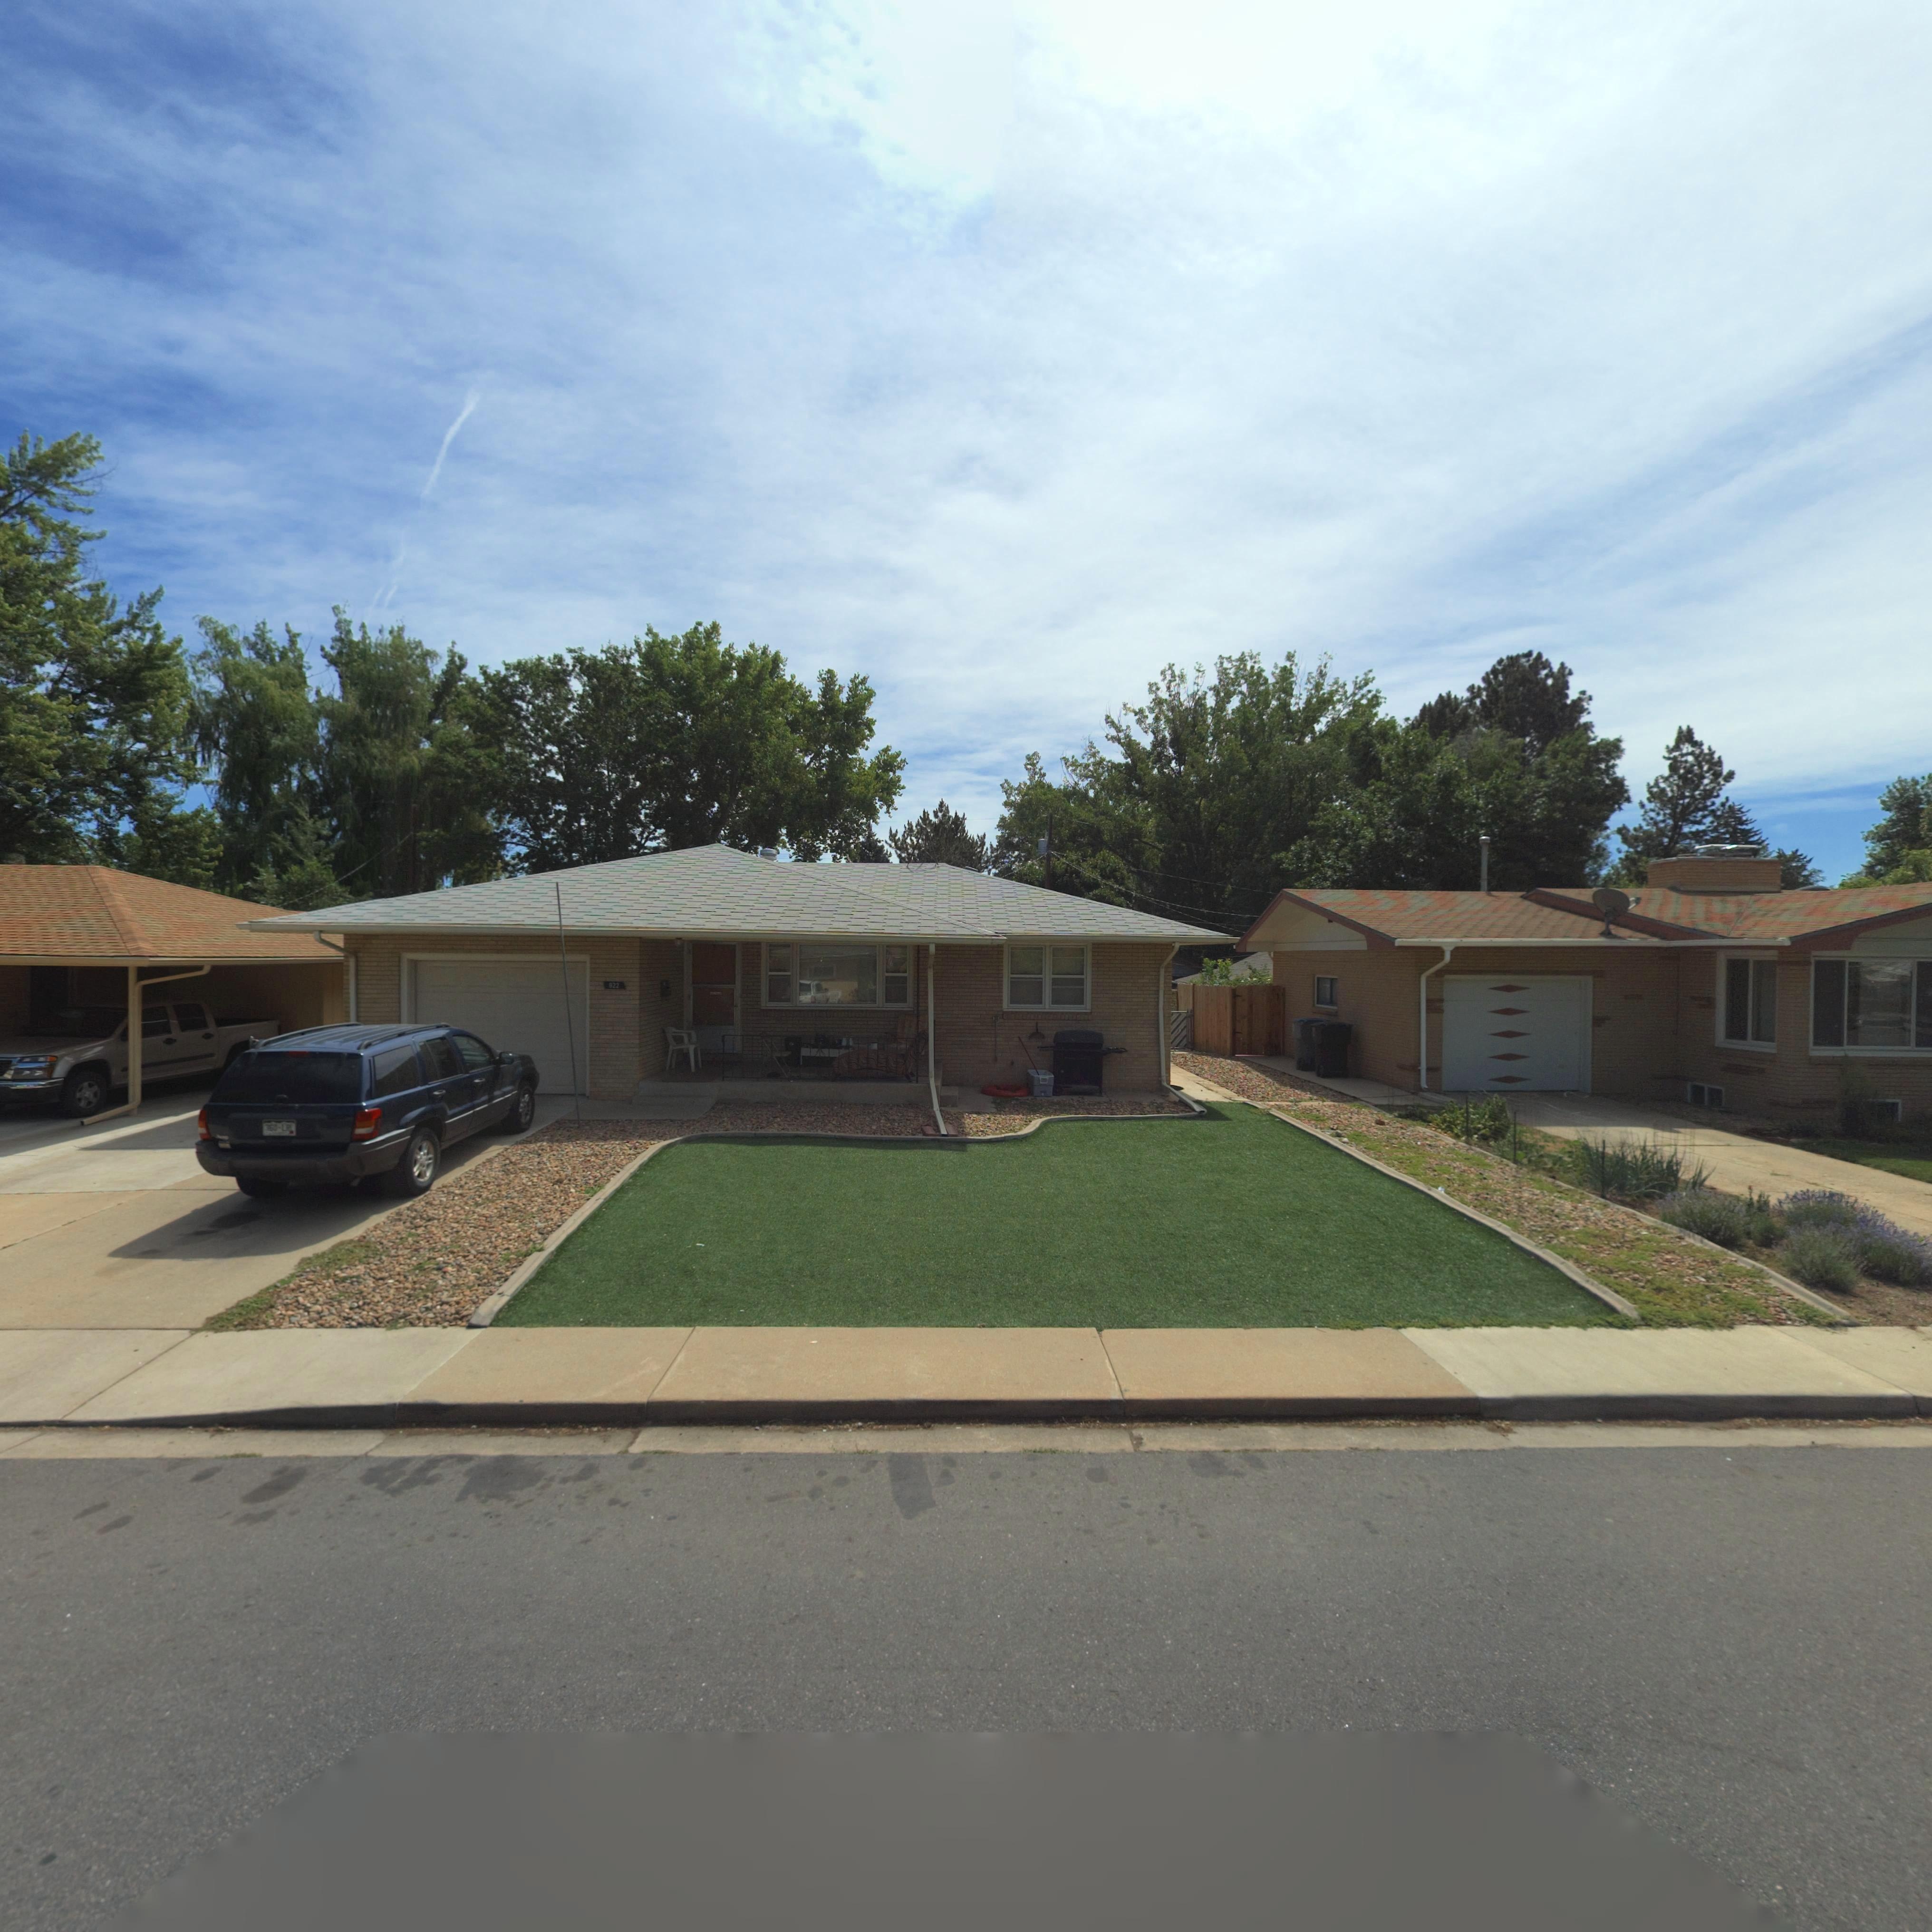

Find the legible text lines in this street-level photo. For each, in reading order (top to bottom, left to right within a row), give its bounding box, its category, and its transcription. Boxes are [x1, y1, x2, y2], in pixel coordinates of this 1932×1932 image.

[608, 982, 619, 988] StreetNumber: 922